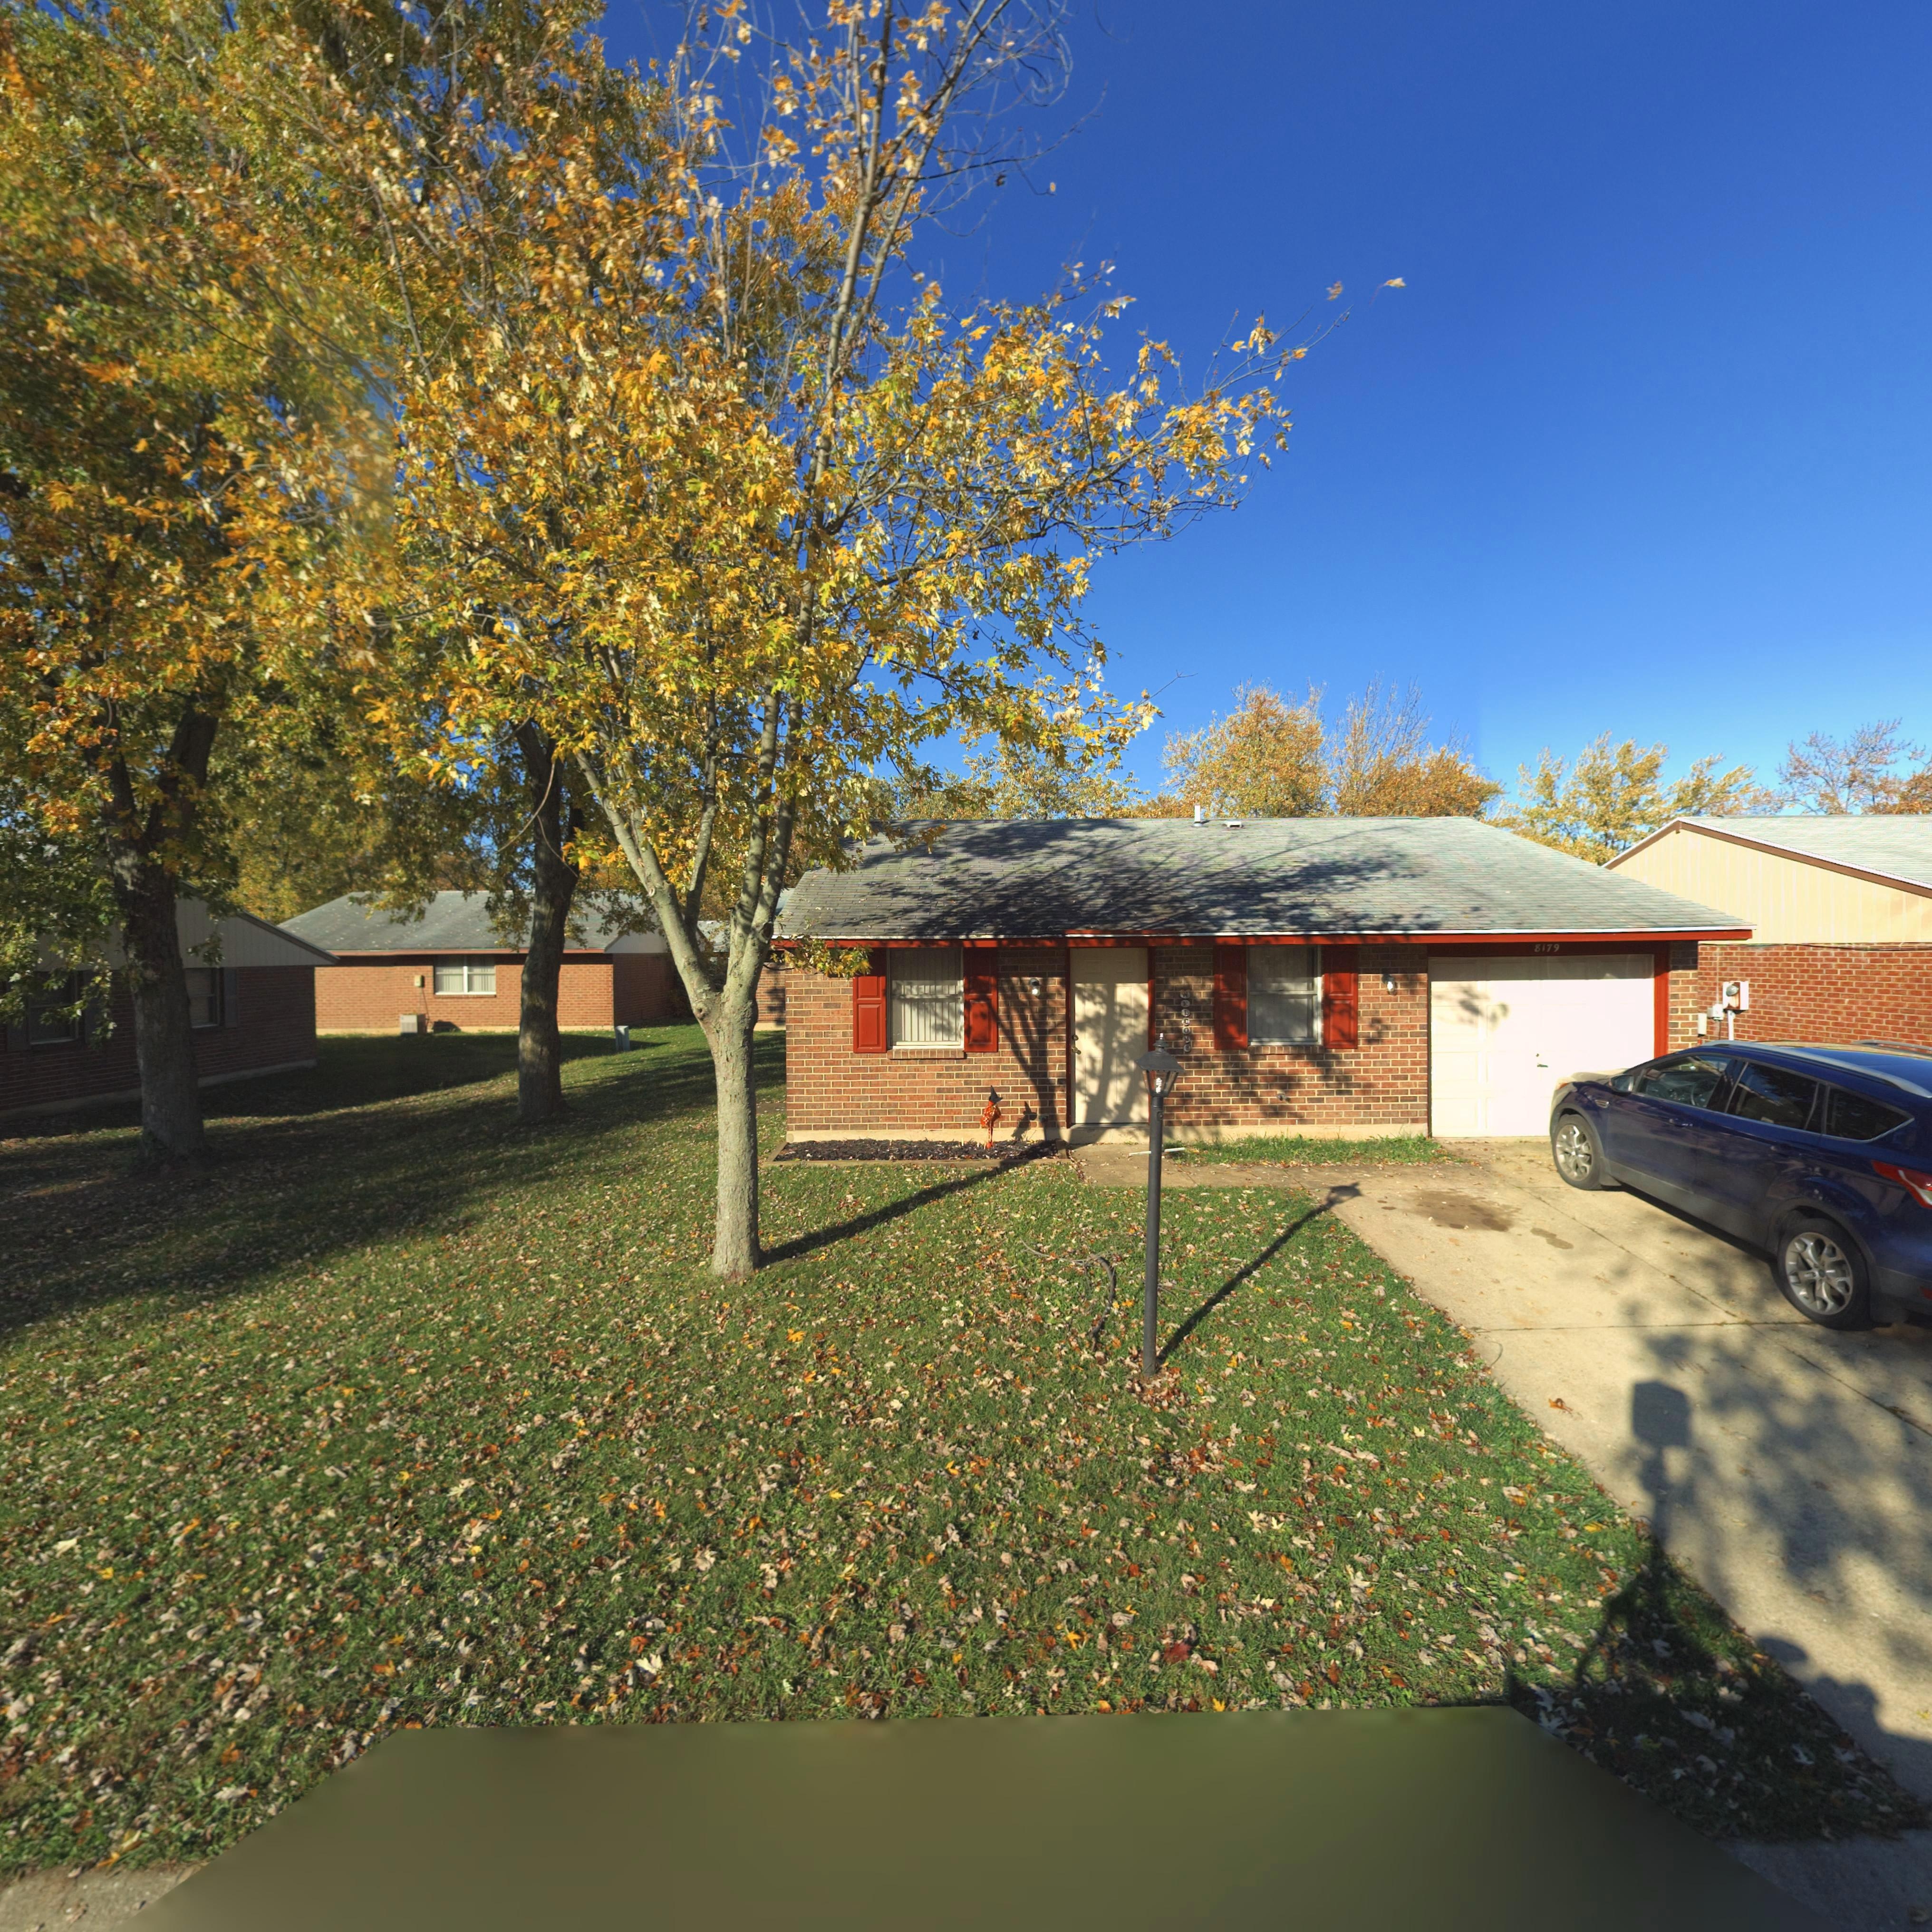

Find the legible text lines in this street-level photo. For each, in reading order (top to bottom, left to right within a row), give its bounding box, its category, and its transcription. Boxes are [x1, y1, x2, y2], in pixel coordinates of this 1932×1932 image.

[1533, 943, 1561, 954] StreetNumber: 8179